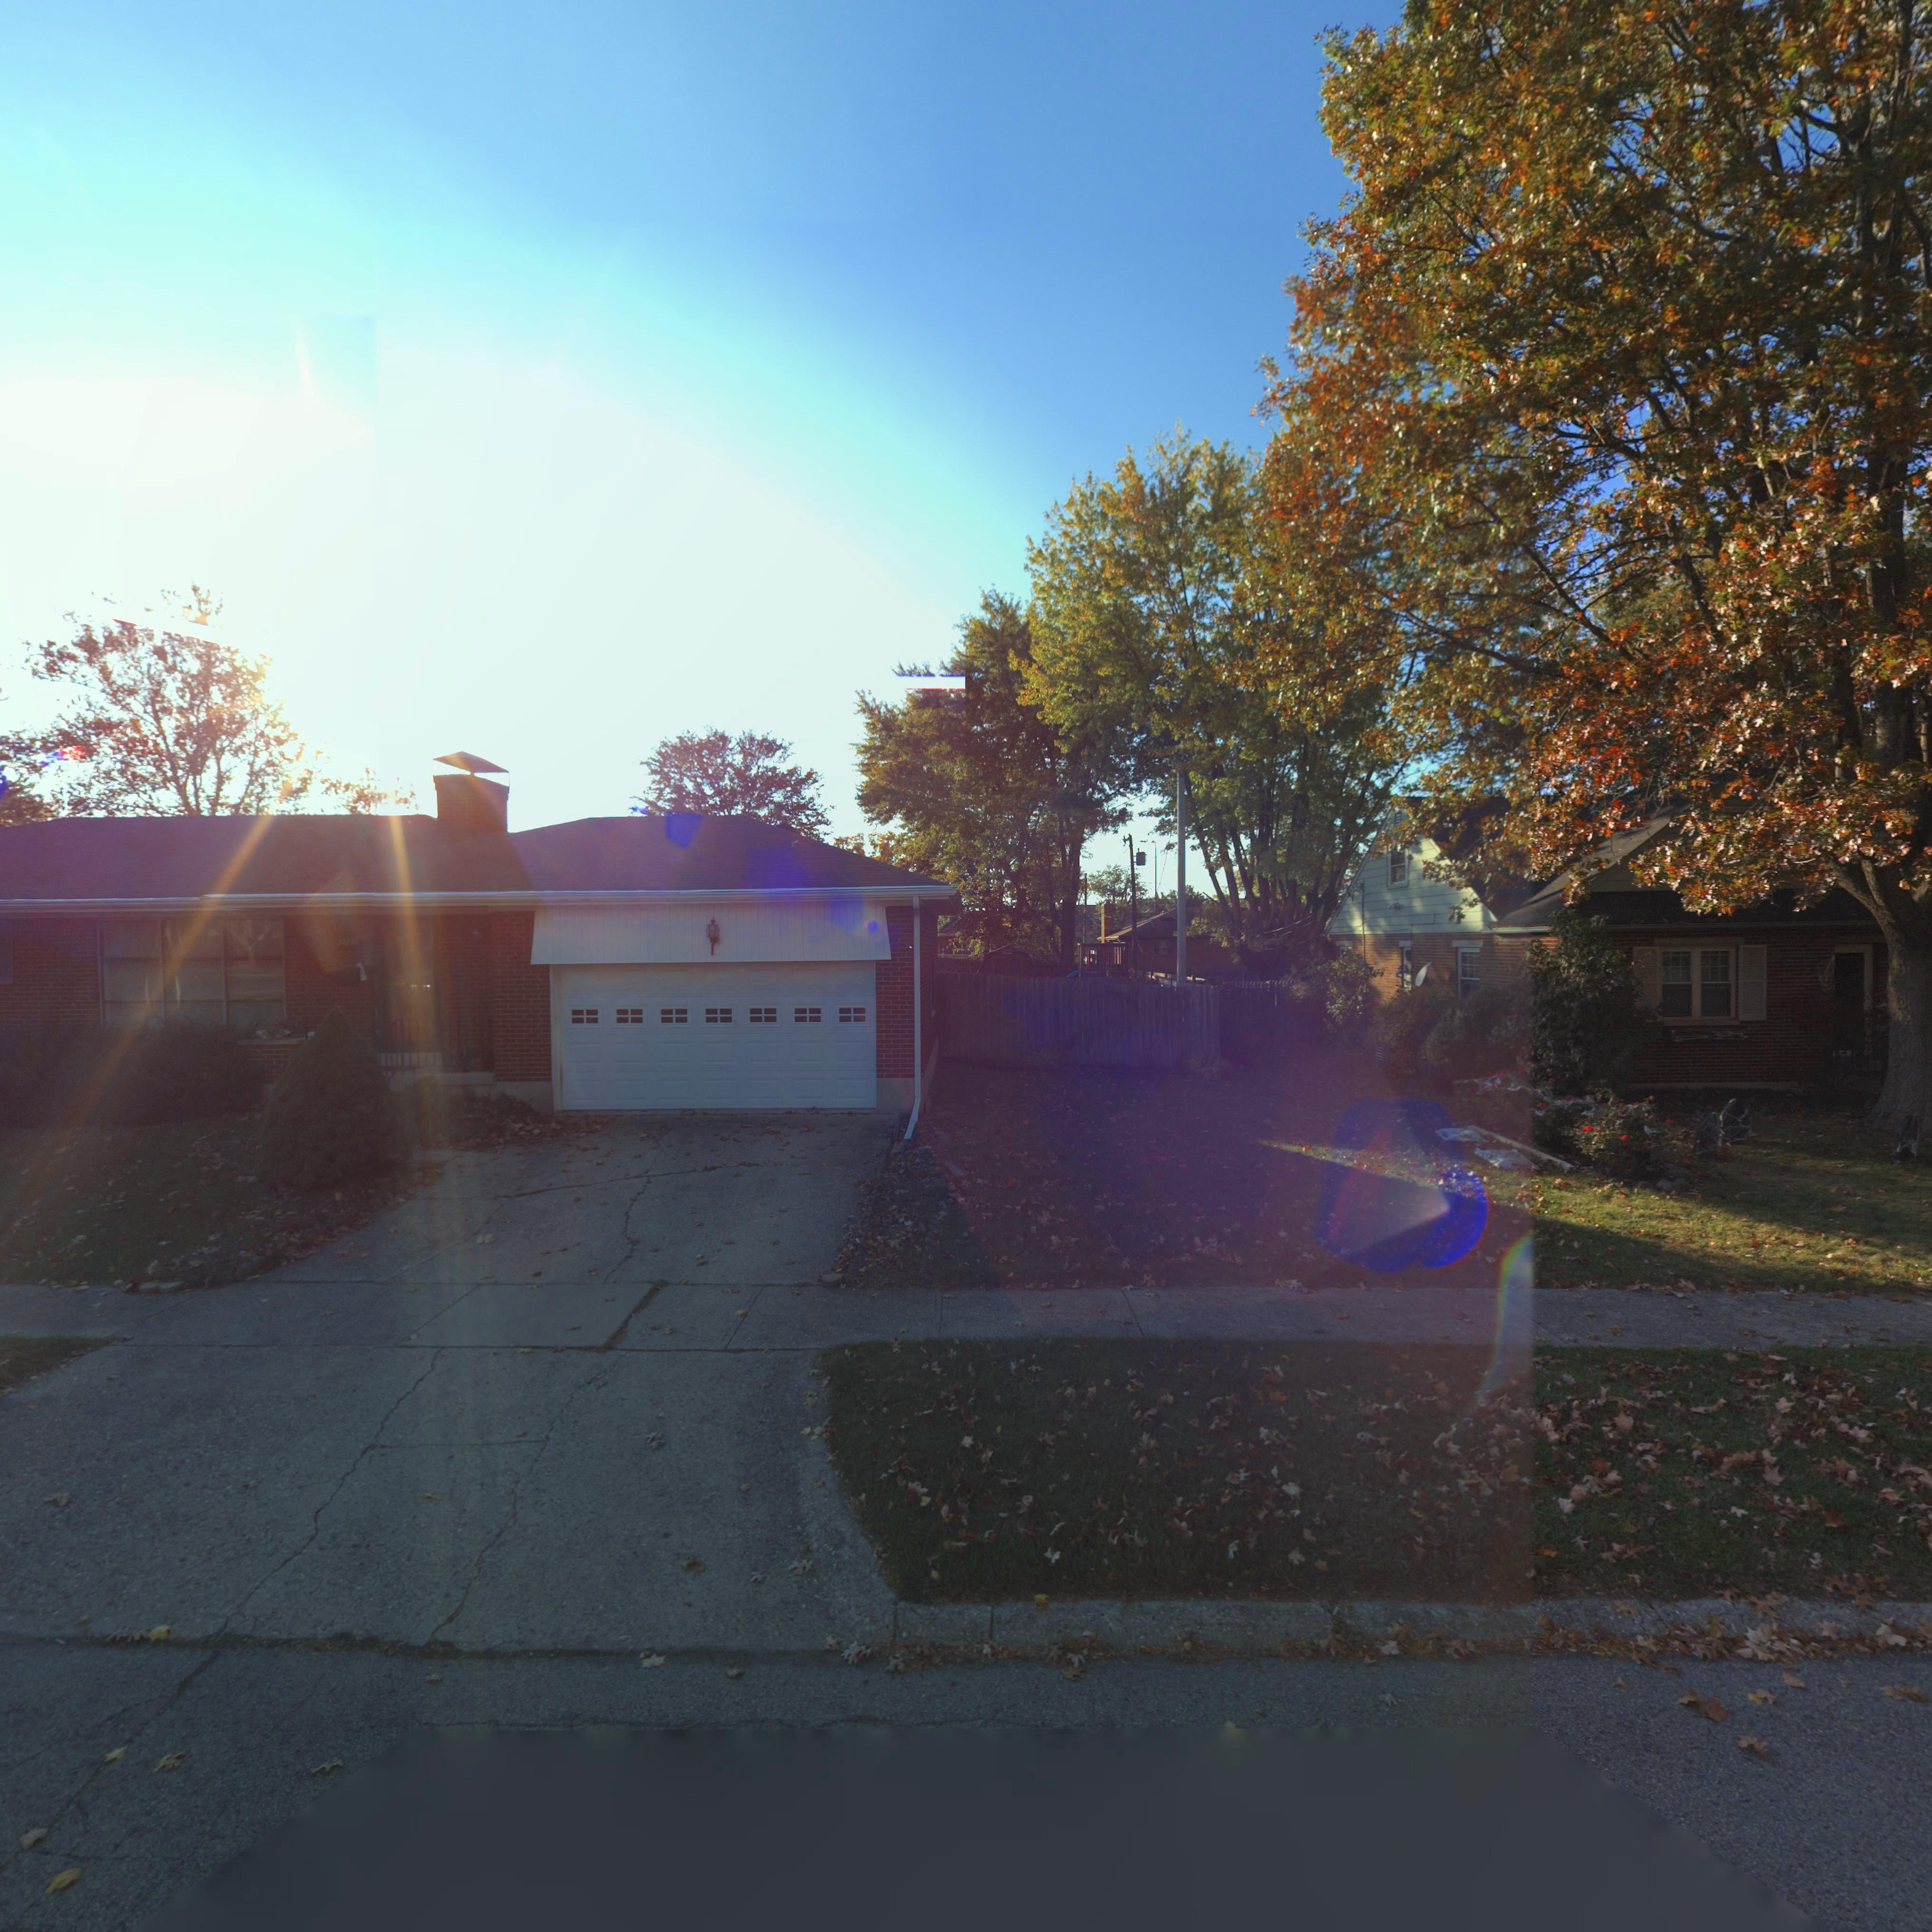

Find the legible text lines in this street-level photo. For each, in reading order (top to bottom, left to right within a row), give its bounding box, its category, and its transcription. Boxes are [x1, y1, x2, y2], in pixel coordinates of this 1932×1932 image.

[336, 937, 360, 945] StreetNumber: ***7